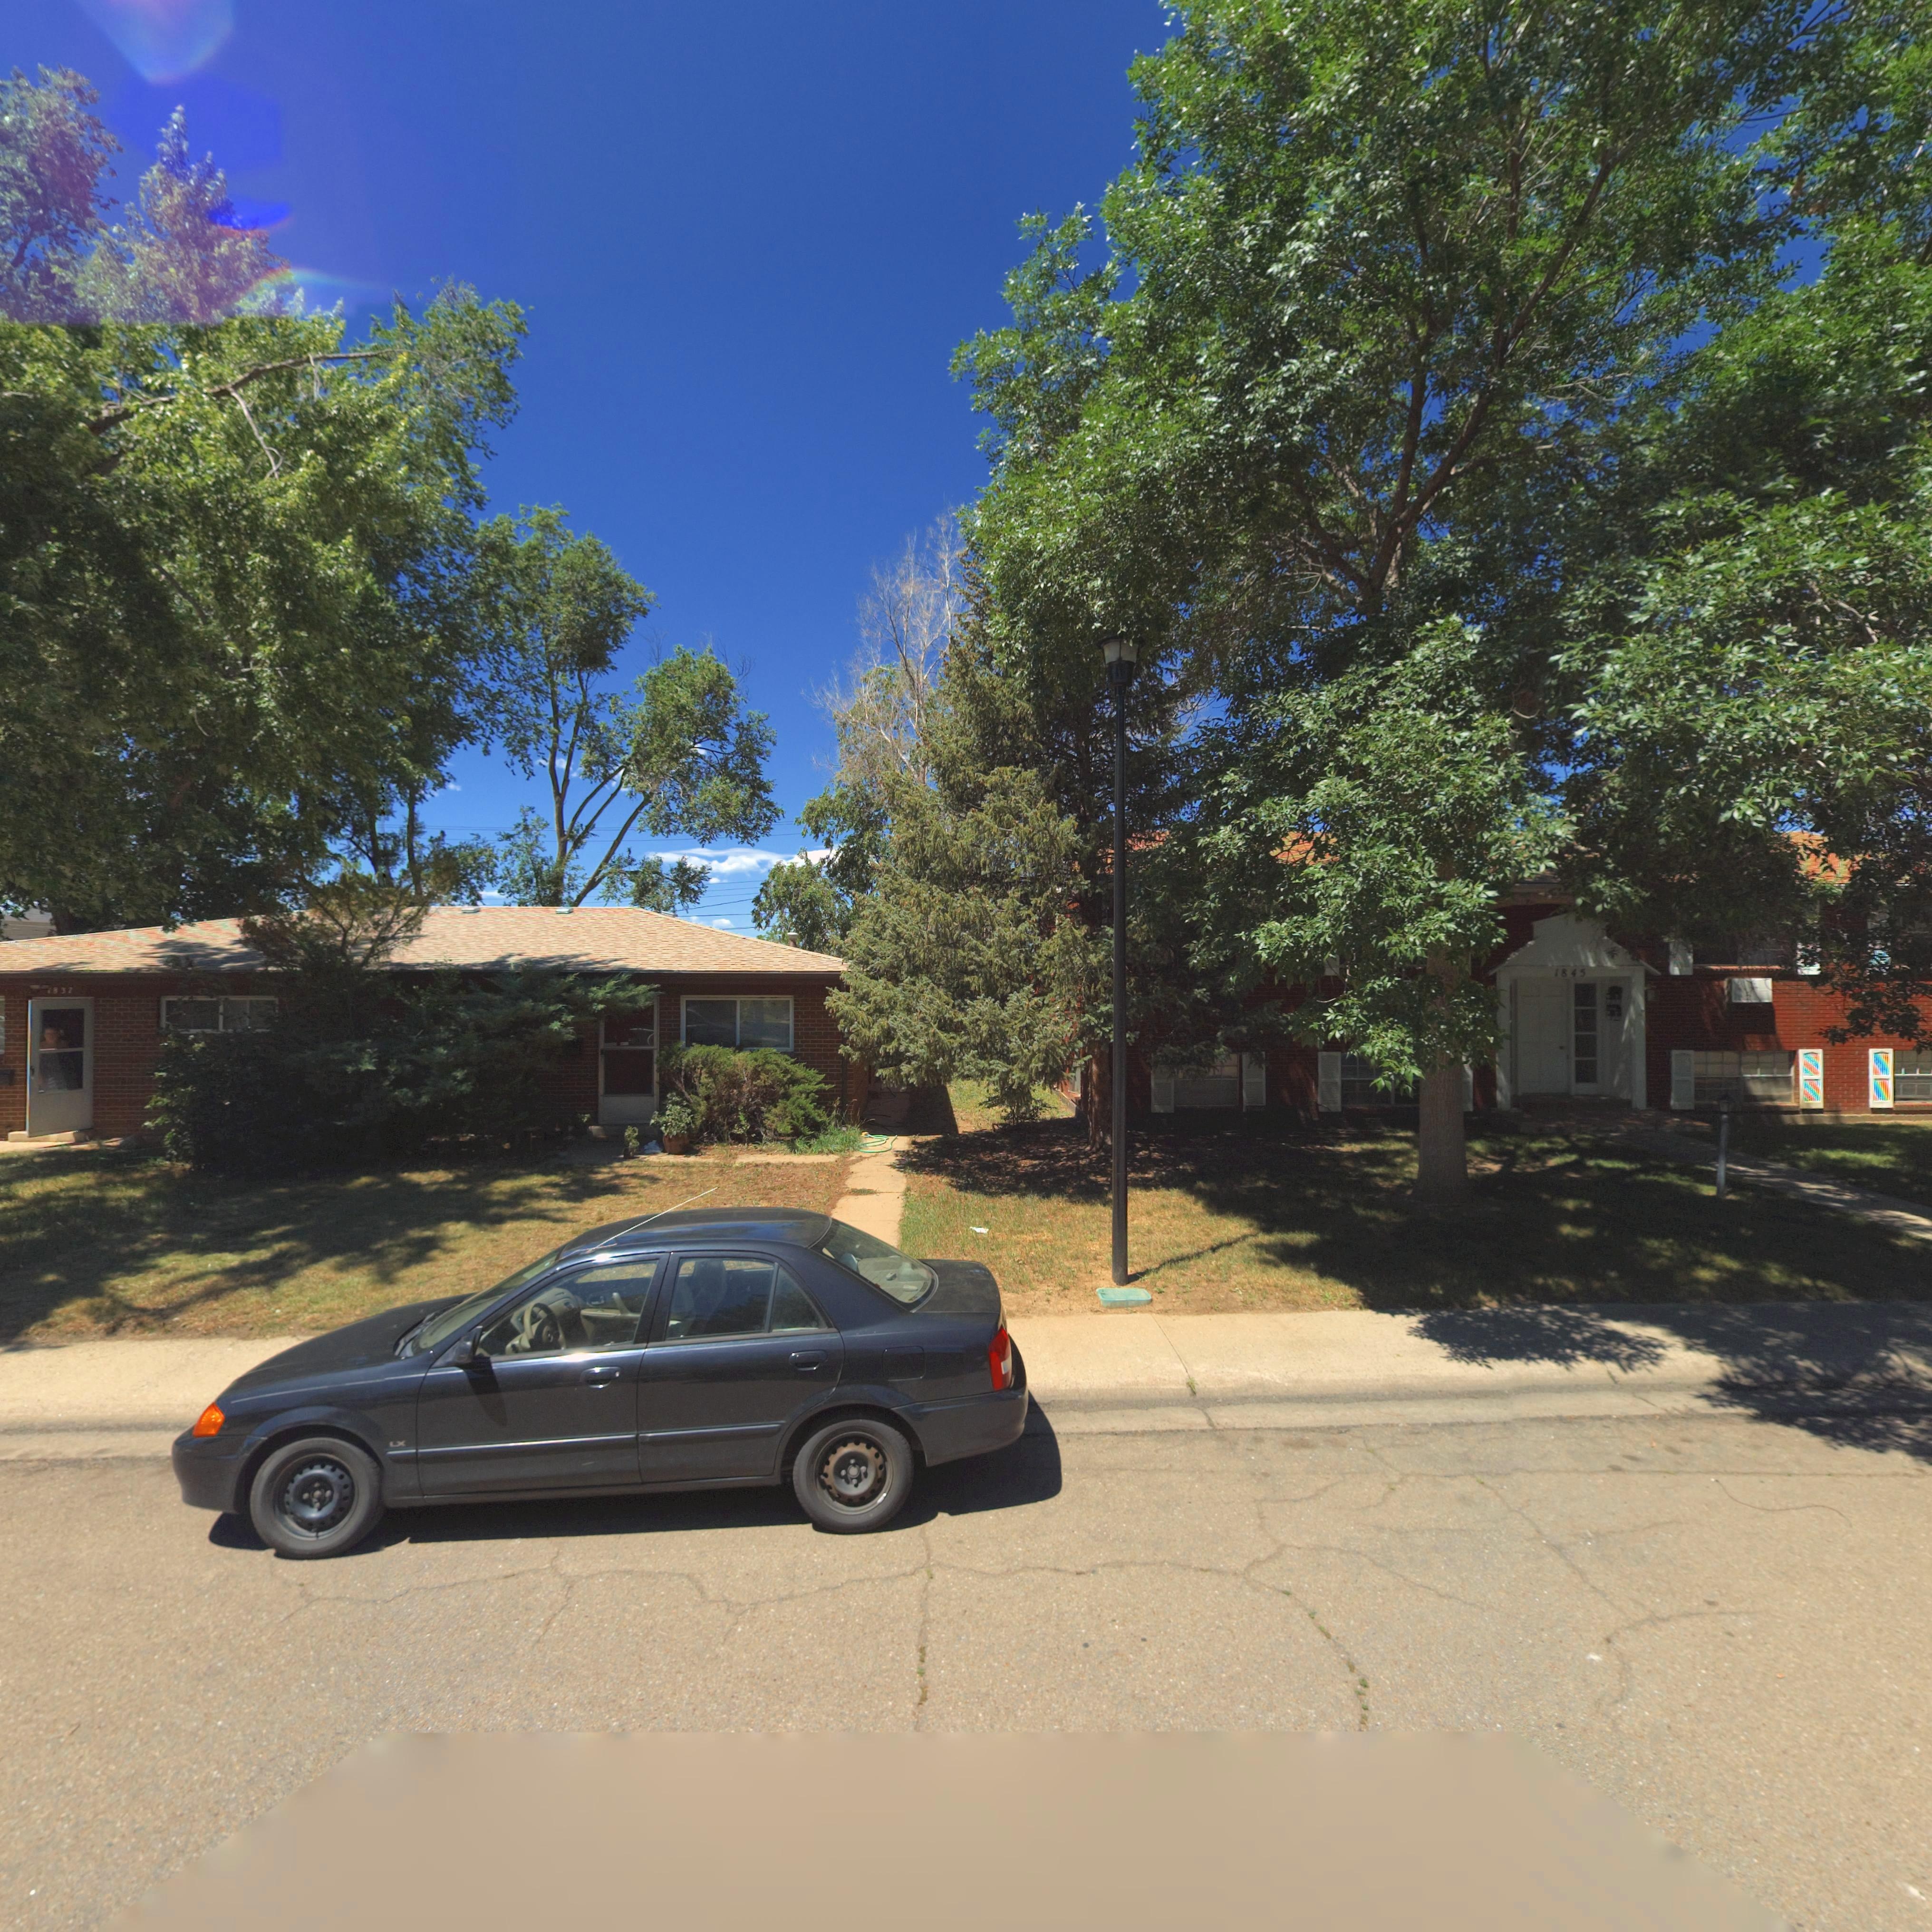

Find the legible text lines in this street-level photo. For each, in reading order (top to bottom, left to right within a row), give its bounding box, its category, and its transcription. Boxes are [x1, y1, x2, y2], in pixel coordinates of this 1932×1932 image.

[1555, 968, 1585, 977] StreetNumber: 1845
[46, 986, 73, 994] StreetNumber: 1837